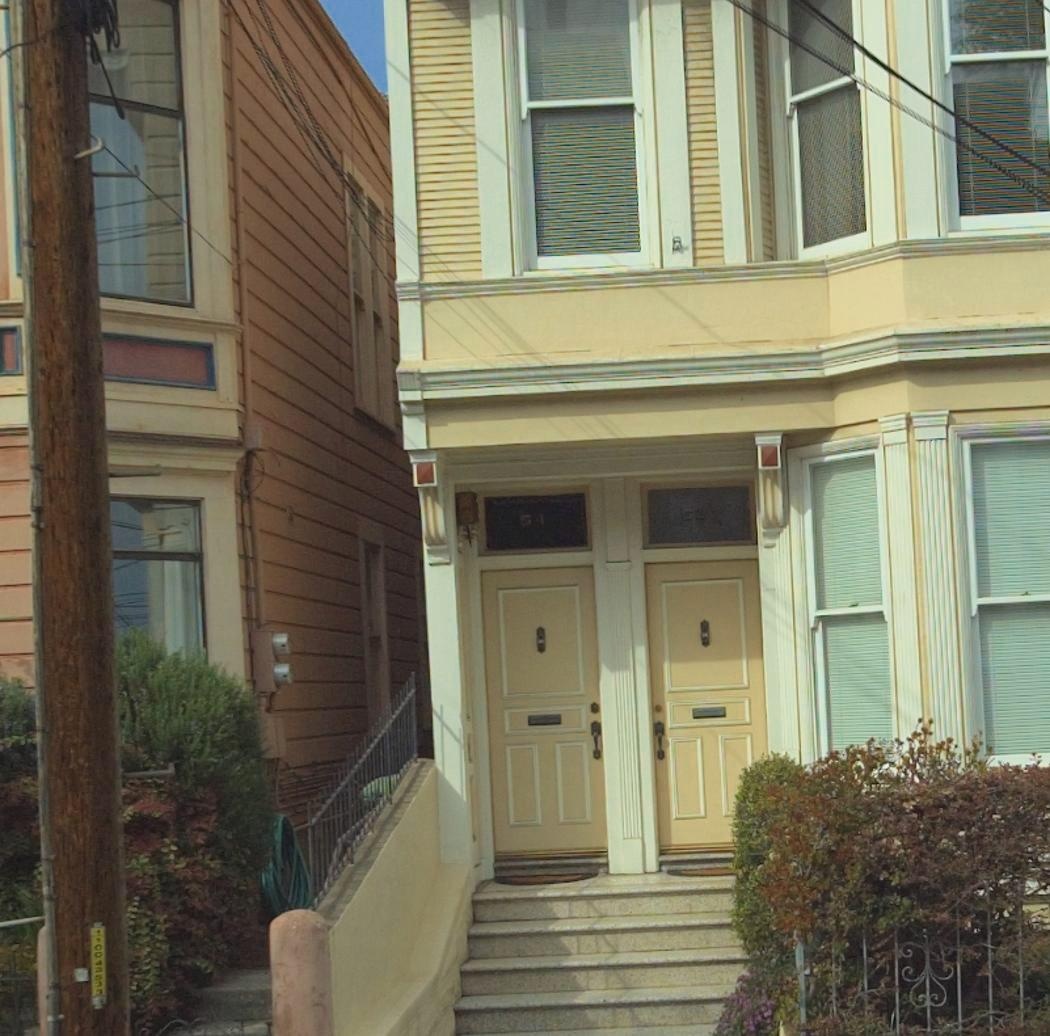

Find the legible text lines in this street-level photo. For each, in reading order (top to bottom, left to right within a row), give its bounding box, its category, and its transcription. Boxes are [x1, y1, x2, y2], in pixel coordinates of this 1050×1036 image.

[518, 512, 547, 528] StreetNumber: 54
[679, 507, 710, 520] StreetNumber: 5*
[93, 928, 103, 998] None: 11043533